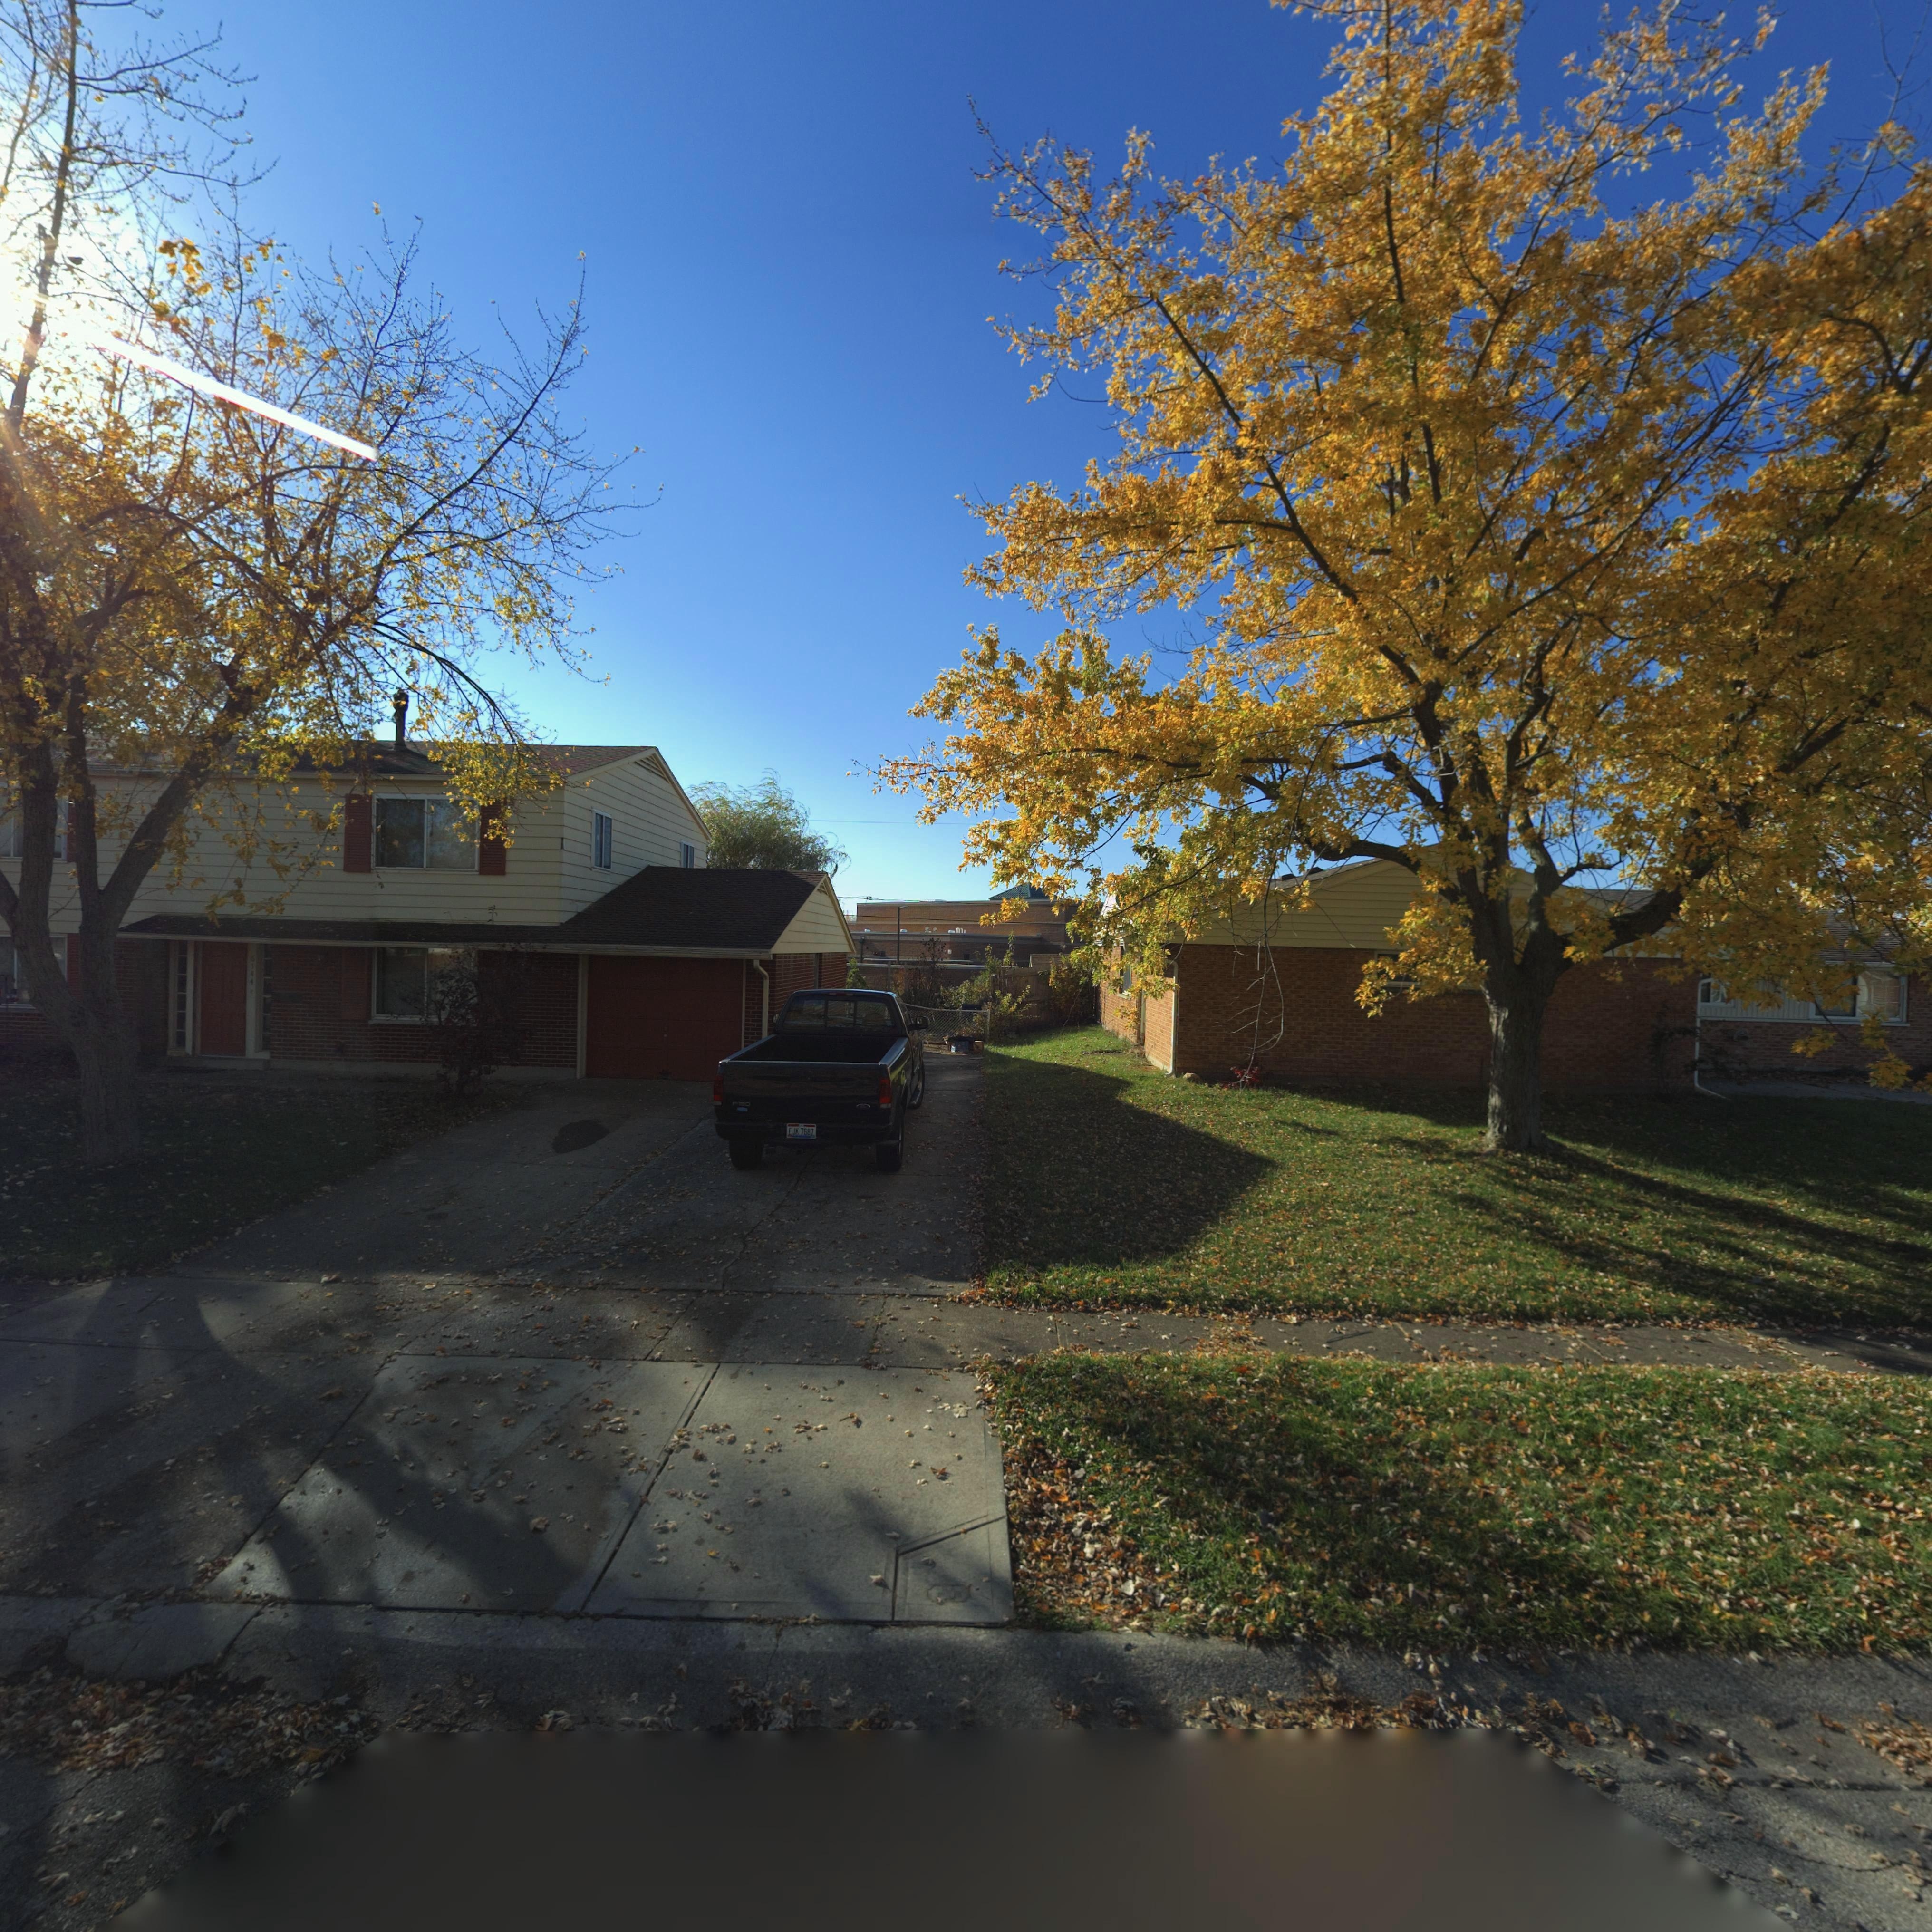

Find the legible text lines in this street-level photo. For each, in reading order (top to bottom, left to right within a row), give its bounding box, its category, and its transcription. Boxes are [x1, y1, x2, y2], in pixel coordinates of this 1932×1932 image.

[249, 954, 256, 985] StreetNumber: 6144